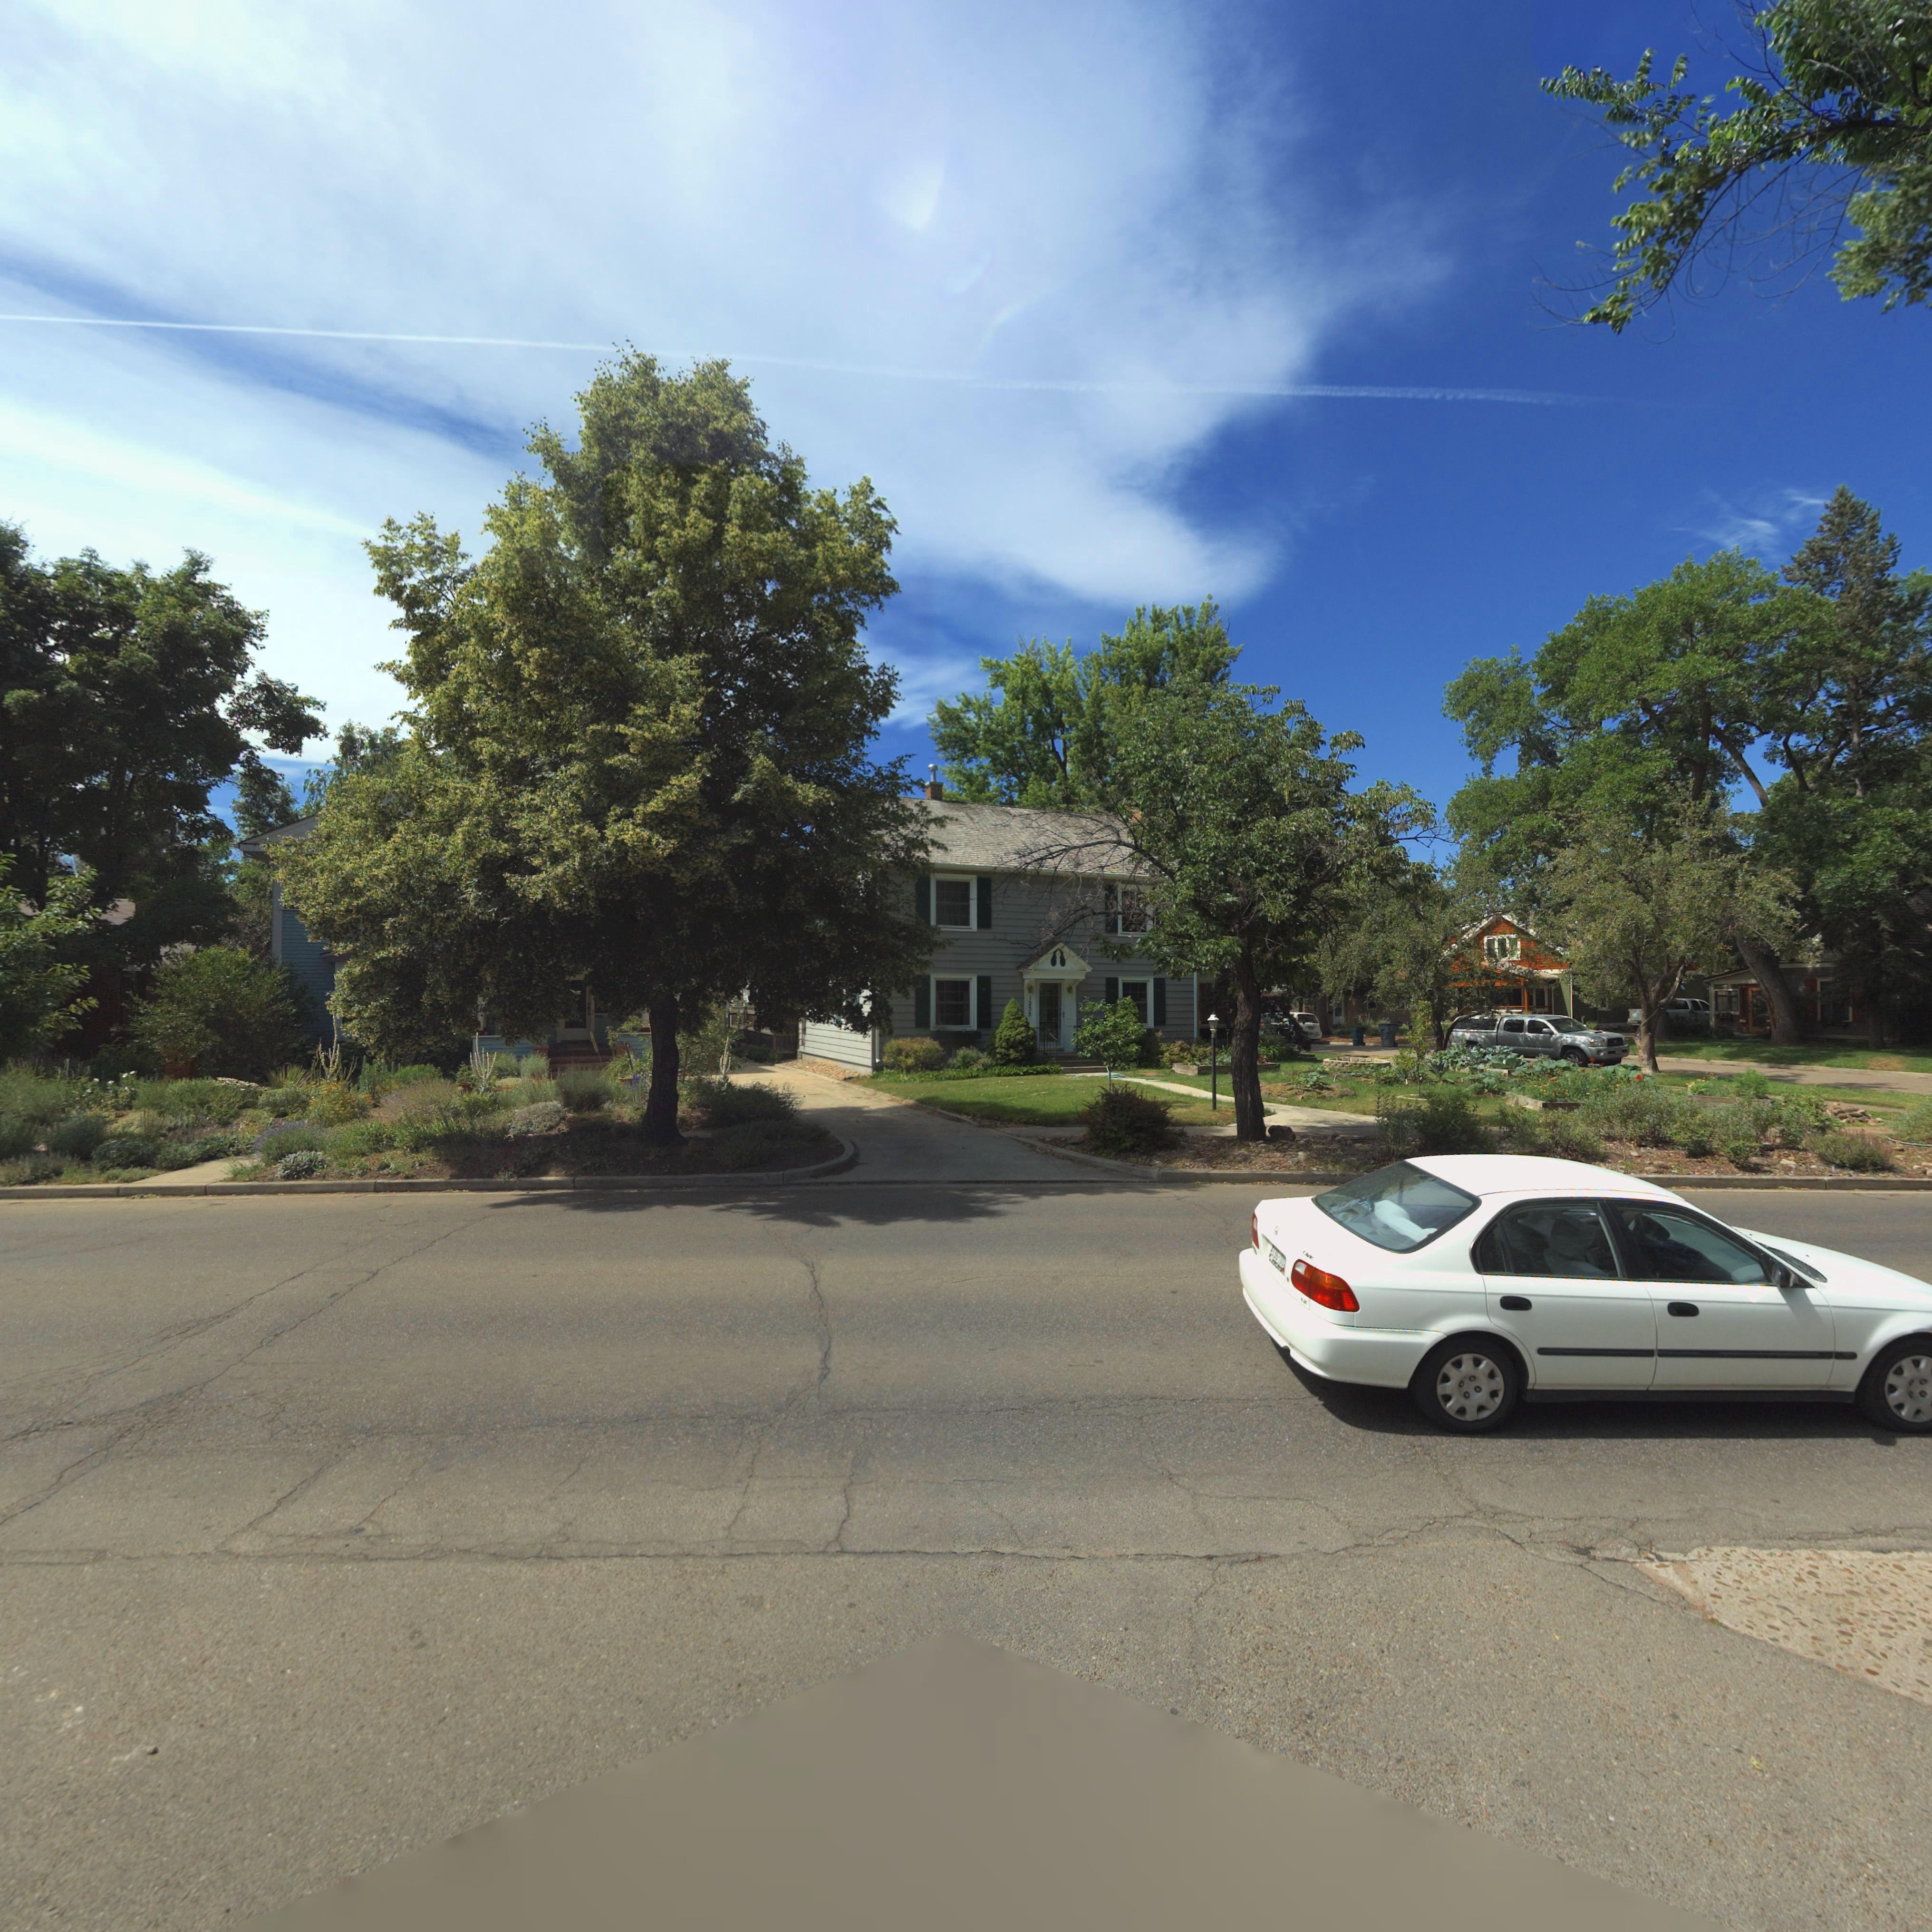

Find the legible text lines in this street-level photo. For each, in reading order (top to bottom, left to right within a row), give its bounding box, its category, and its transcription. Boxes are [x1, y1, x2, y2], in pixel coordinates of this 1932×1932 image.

[1027, 995, 1031, 1016] StreetNumber: 1255